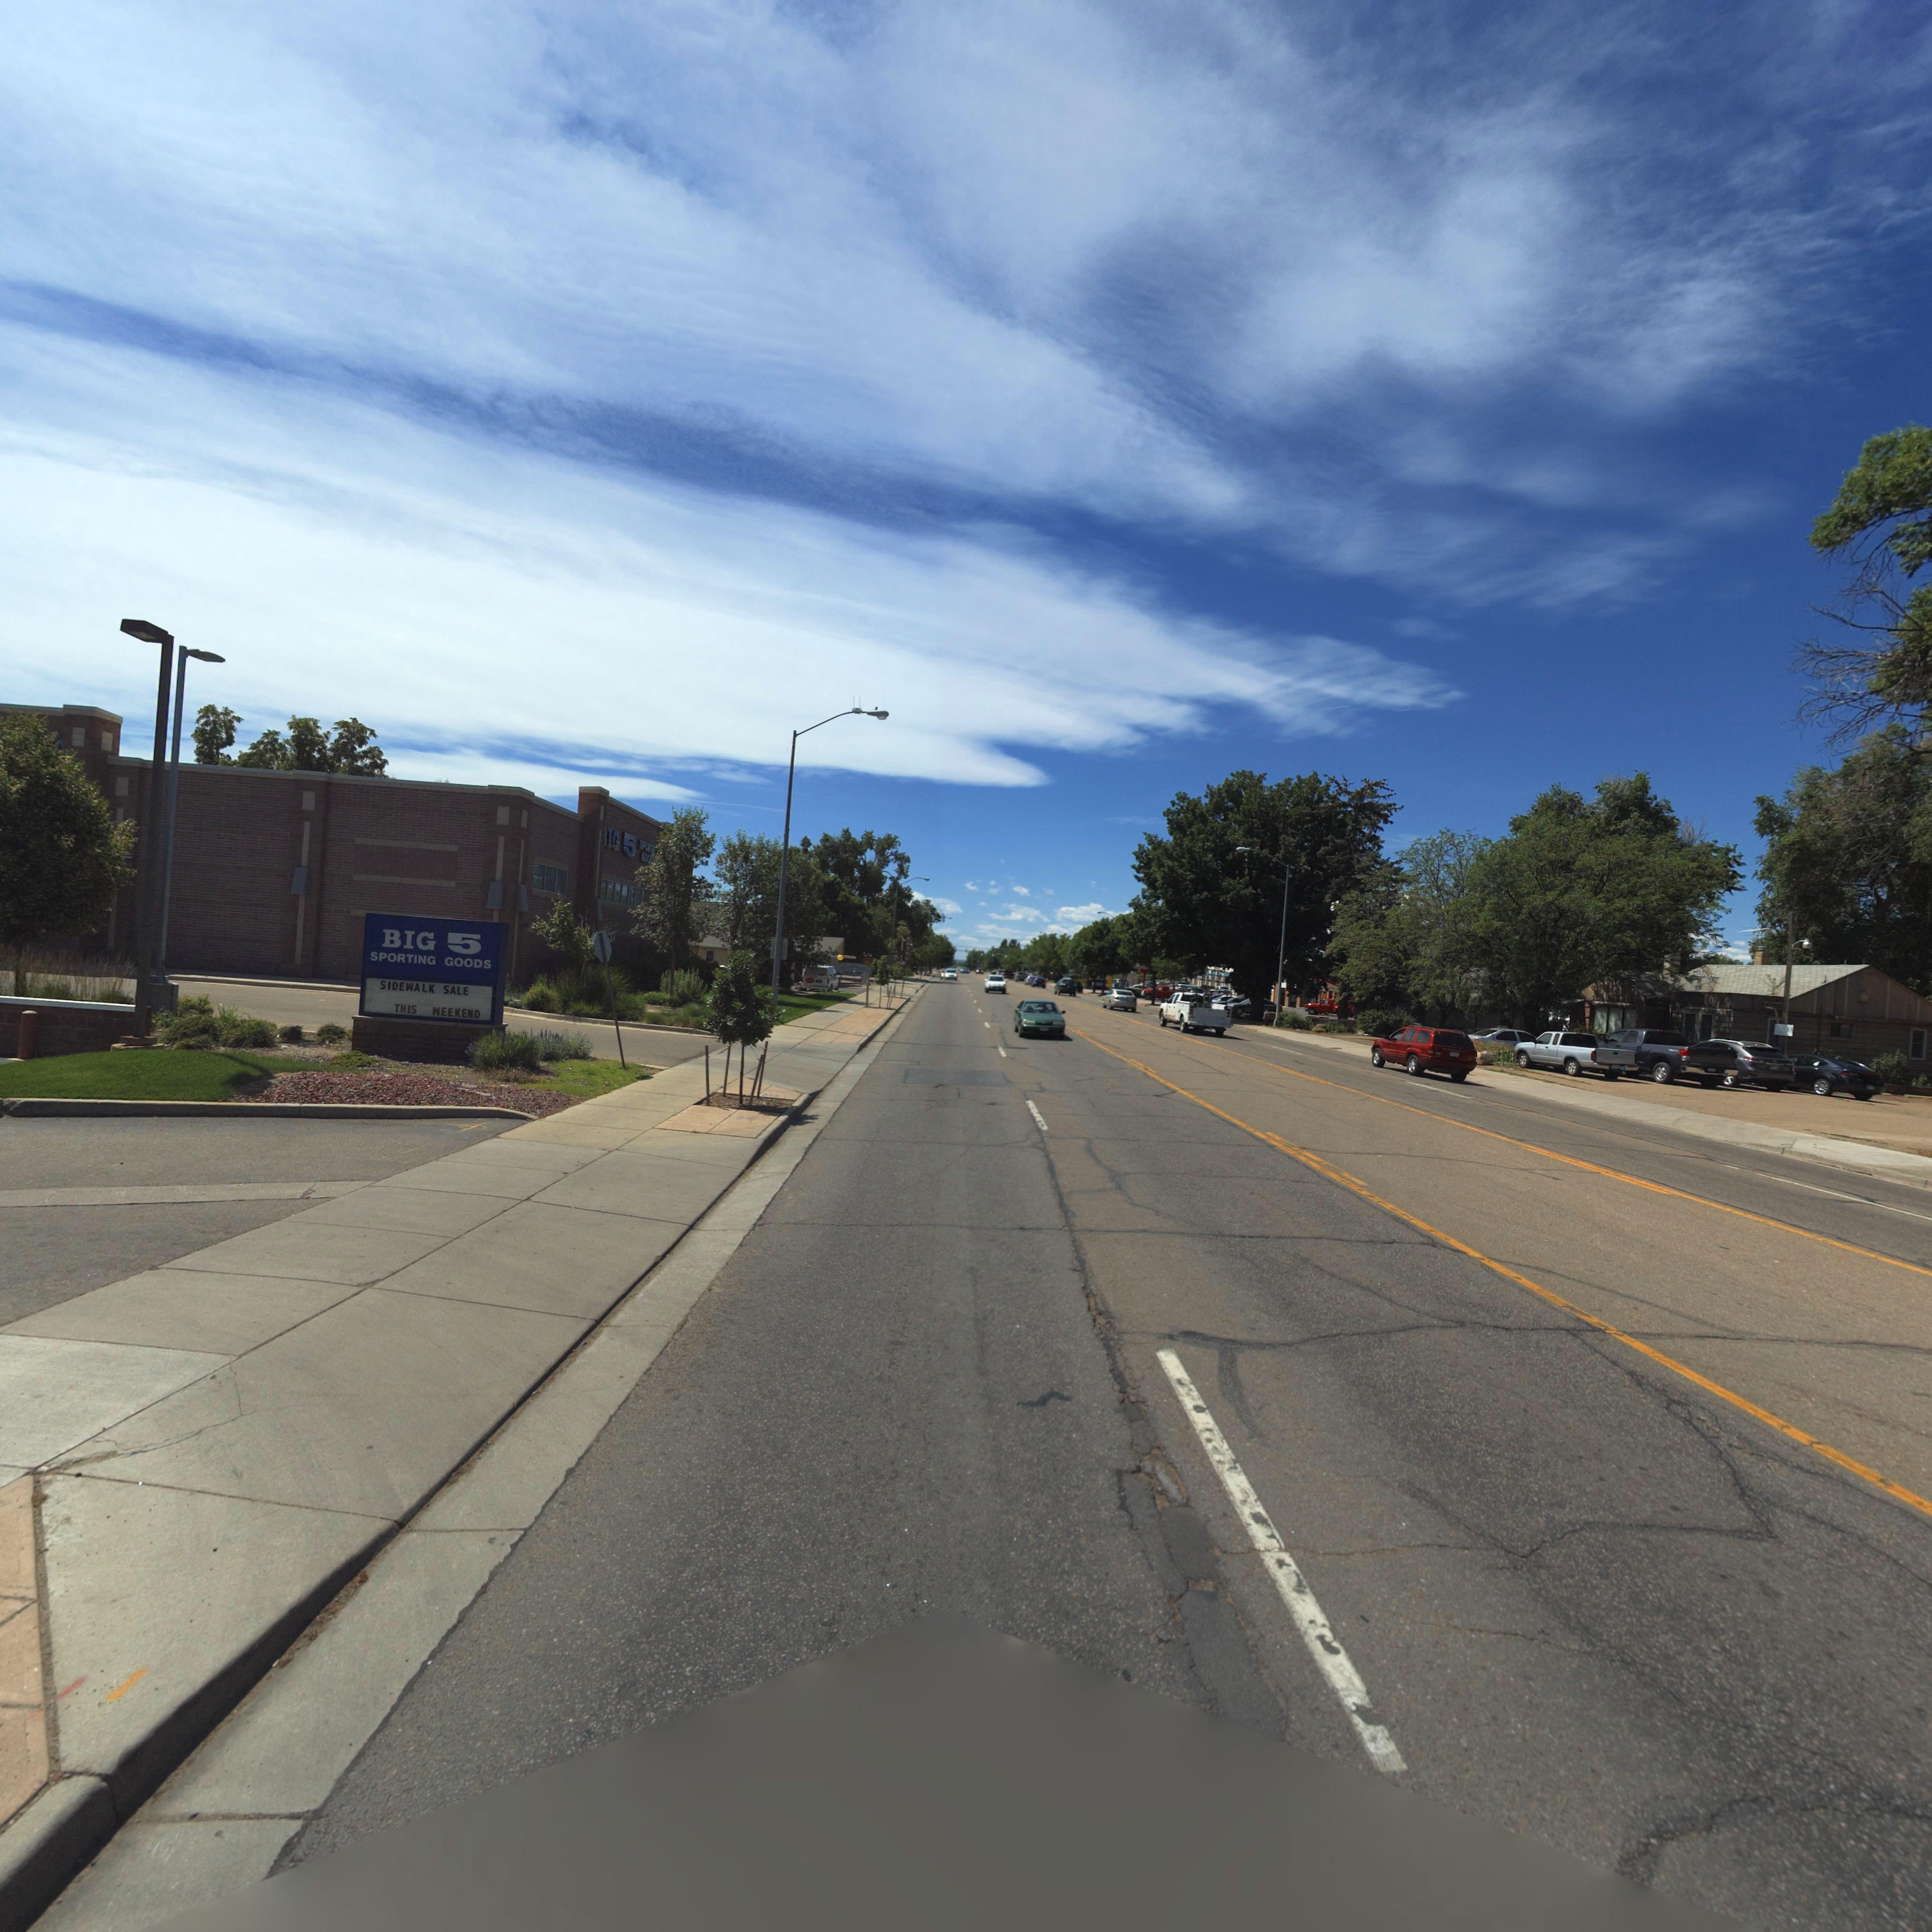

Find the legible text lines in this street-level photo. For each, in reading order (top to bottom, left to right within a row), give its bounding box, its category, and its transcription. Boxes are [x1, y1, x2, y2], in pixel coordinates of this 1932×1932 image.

[604, 826, 637, 857] BusinessName: *IG 5
[639, 839, 655, 855] BusinessName: SPORTI
[641, 851, 652, 864] BusinessName: GOO
[381, 928, 482, 955] BusinessName: BIG 5
[369, 951, 492, 969] BusinessName: SPORTING GOODS